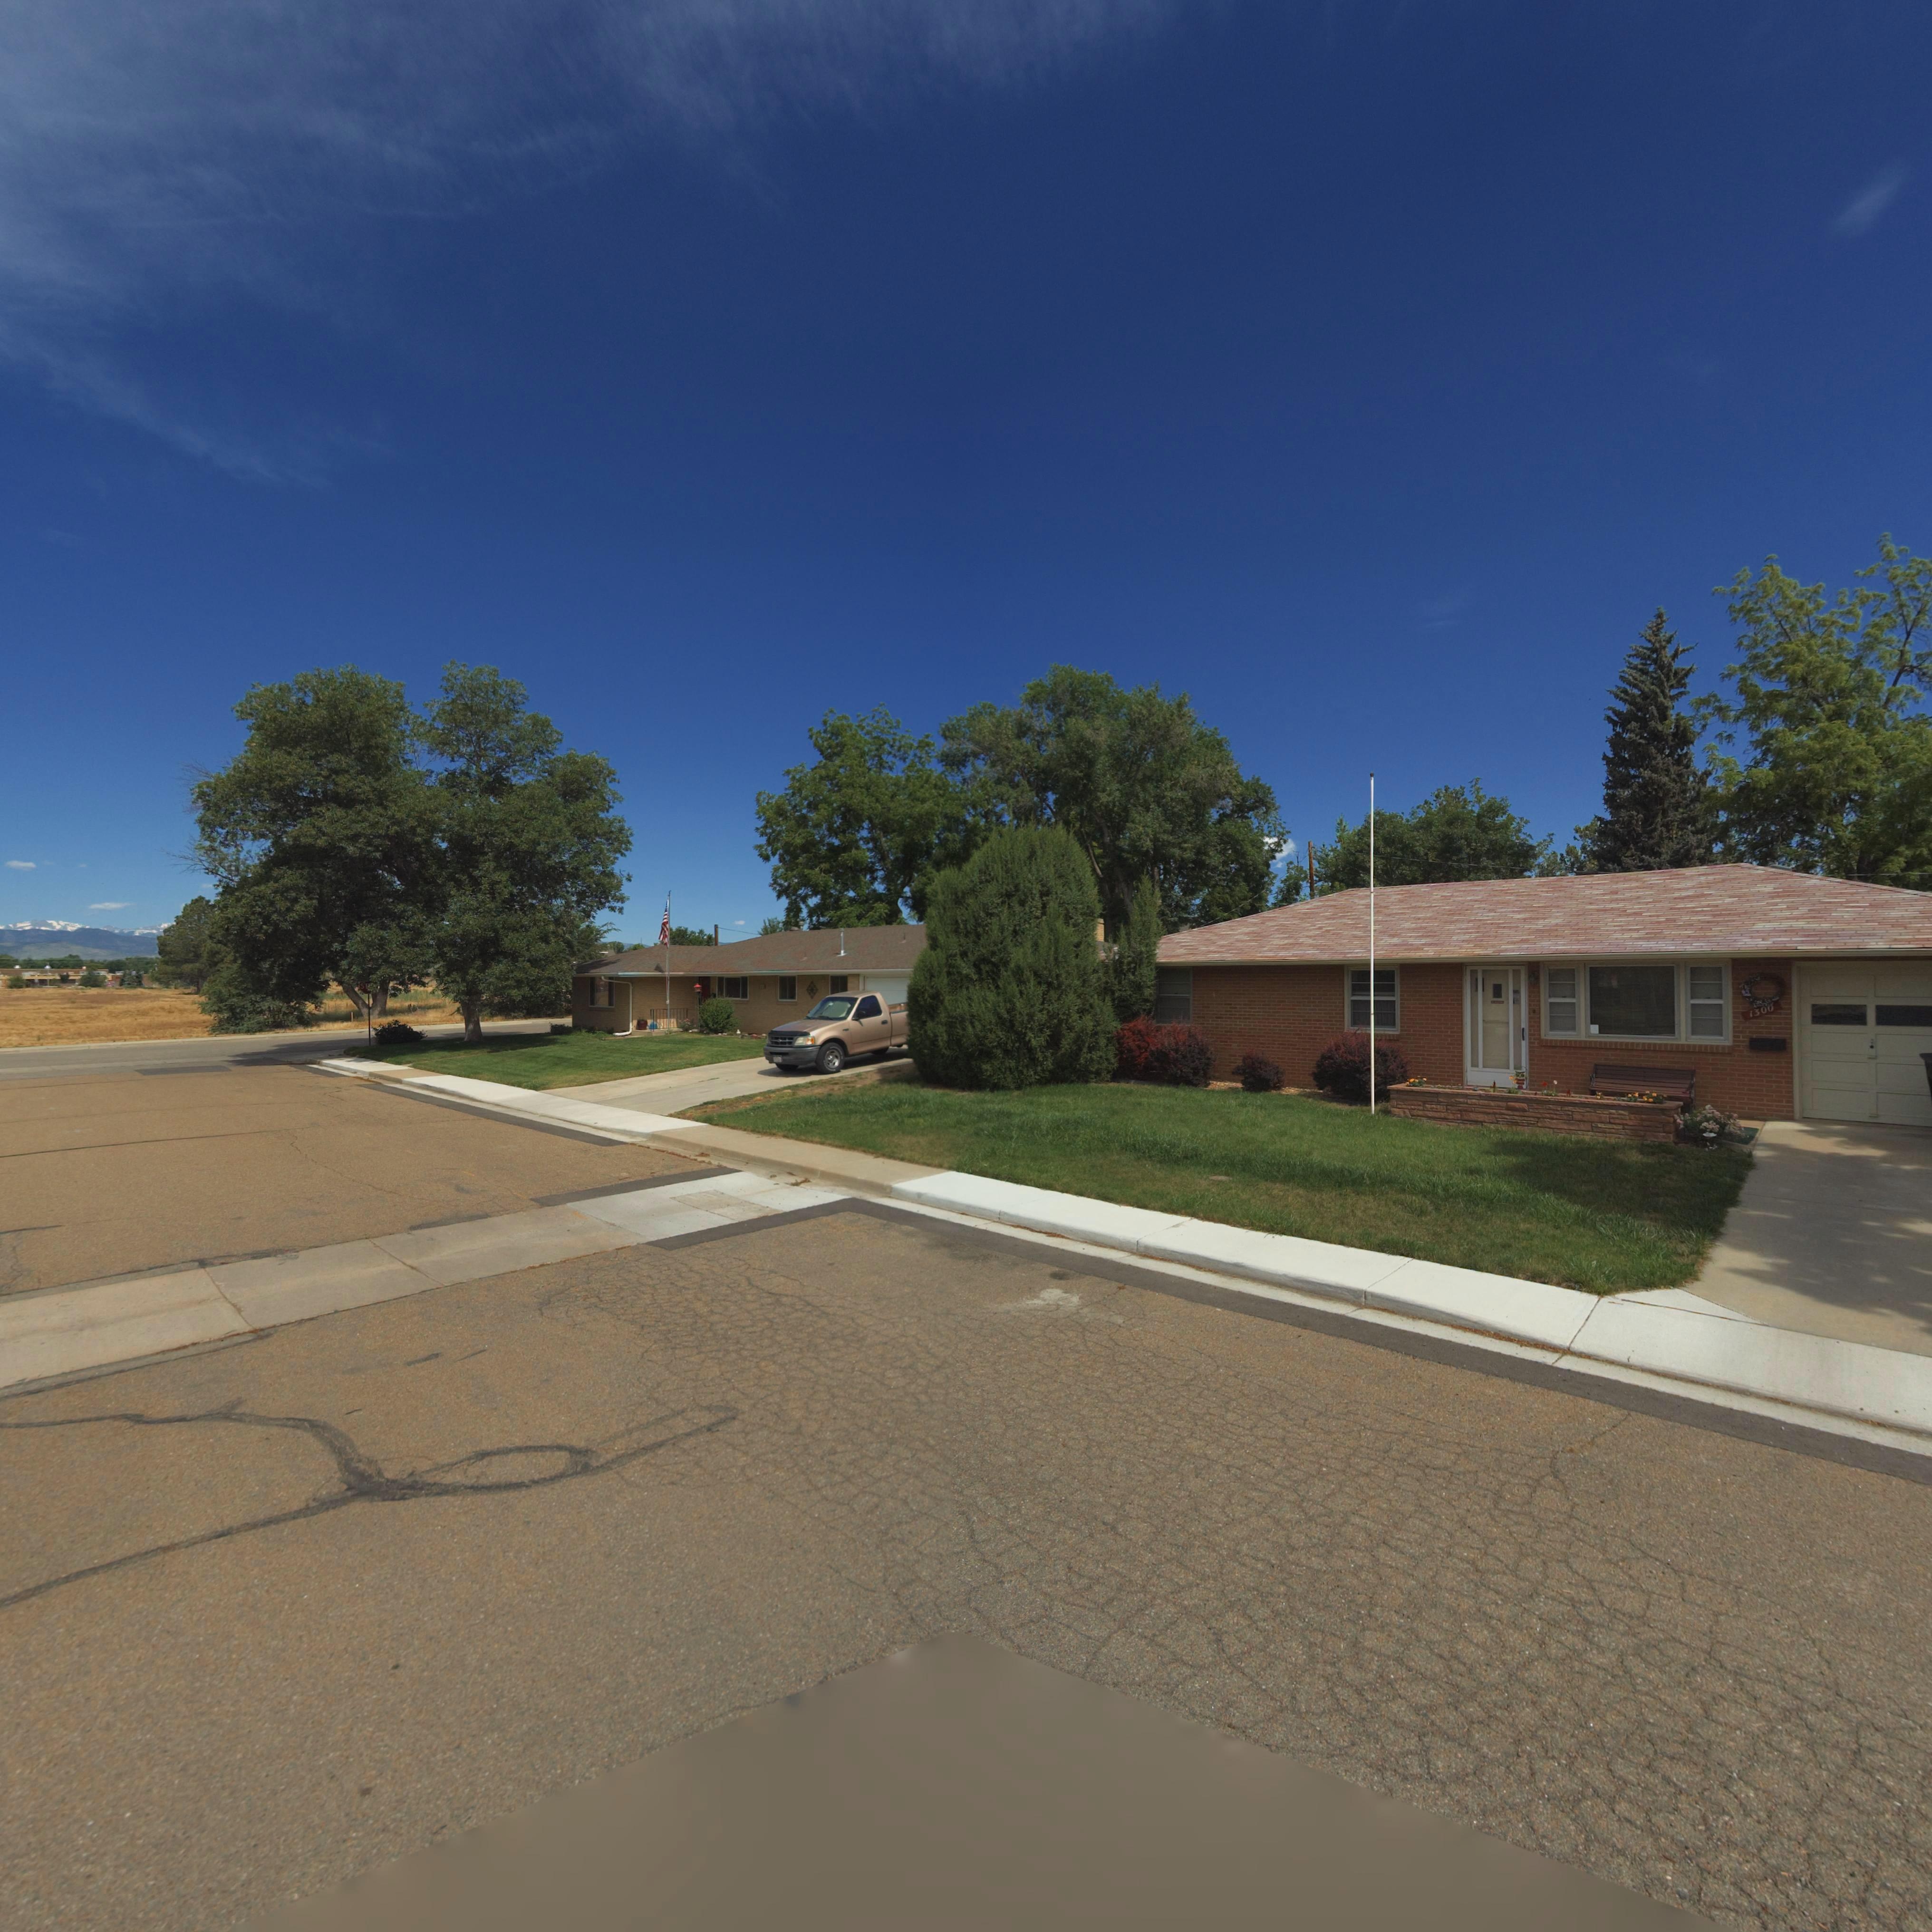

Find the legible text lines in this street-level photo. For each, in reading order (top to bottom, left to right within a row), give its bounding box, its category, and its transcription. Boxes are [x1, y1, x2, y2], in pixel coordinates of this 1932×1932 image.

[1748, 1003, 1774, 1019] StreetNumber: 1300